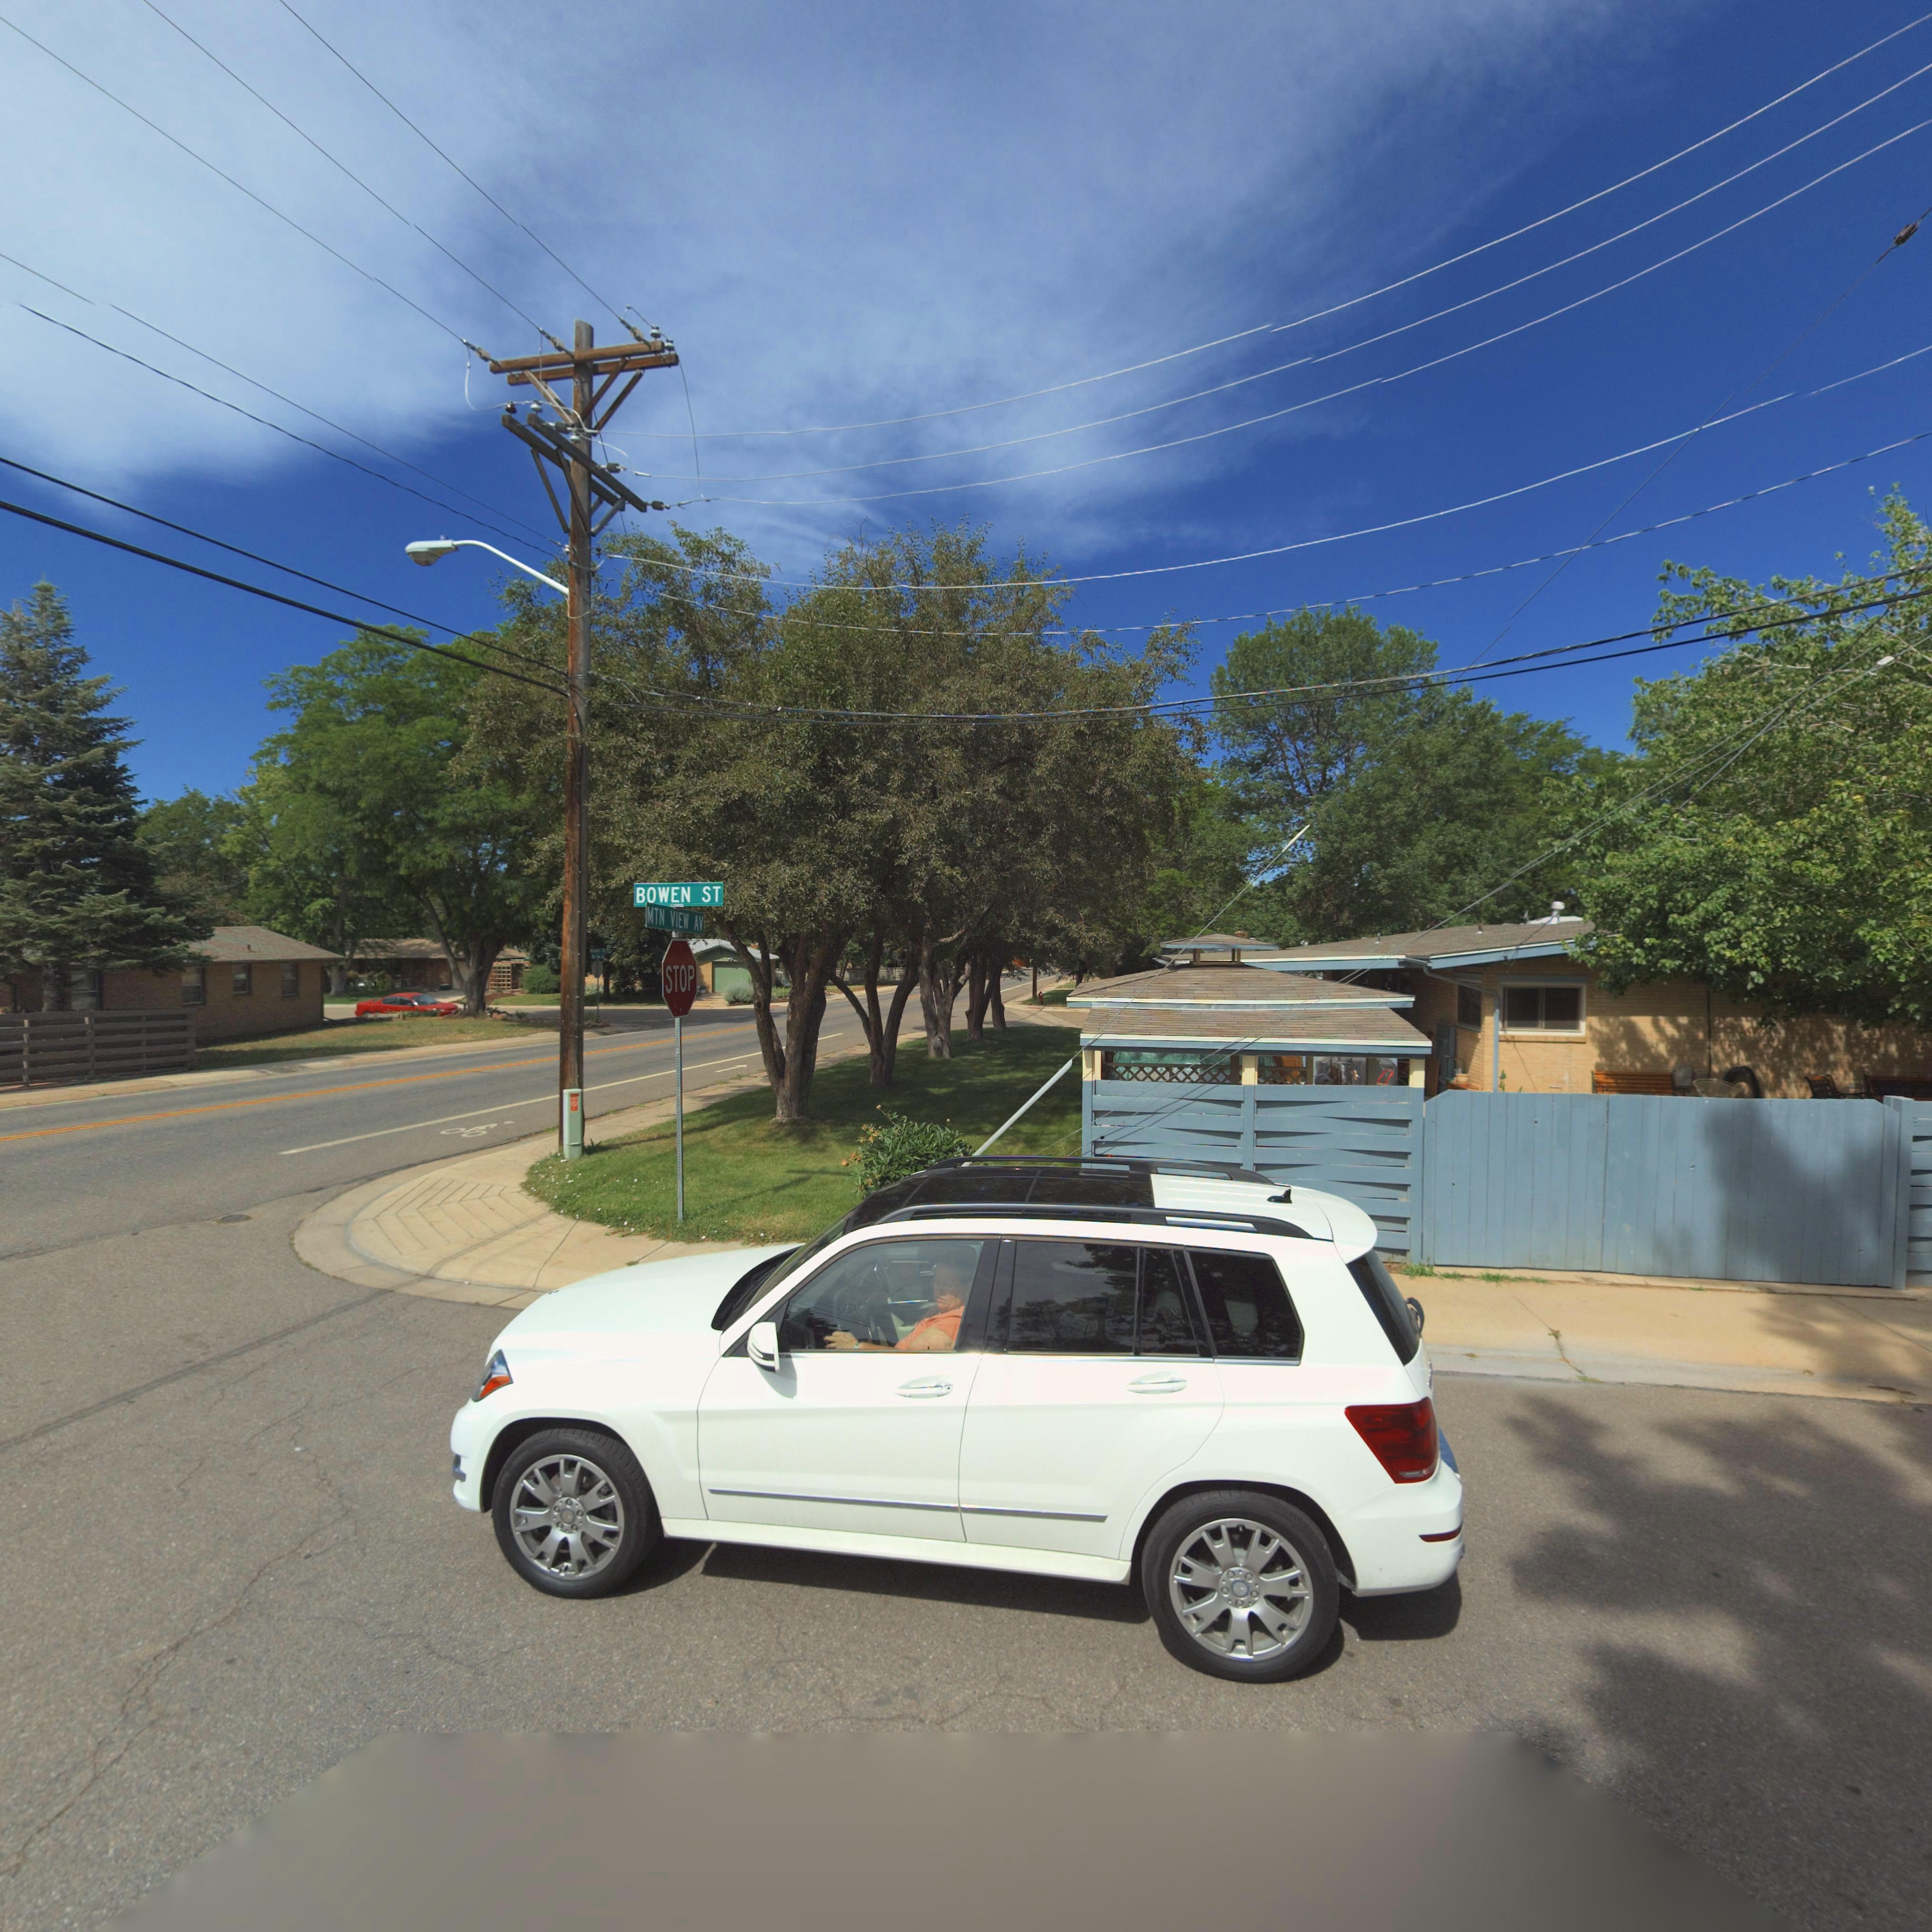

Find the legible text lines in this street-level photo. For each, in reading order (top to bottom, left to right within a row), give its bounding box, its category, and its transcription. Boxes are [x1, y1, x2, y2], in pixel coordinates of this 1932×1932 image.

[635, 886, 722, 903] StreetName: BOWEN ST
[647, 906, 703, 931] StreetName: MTN VIEW AV